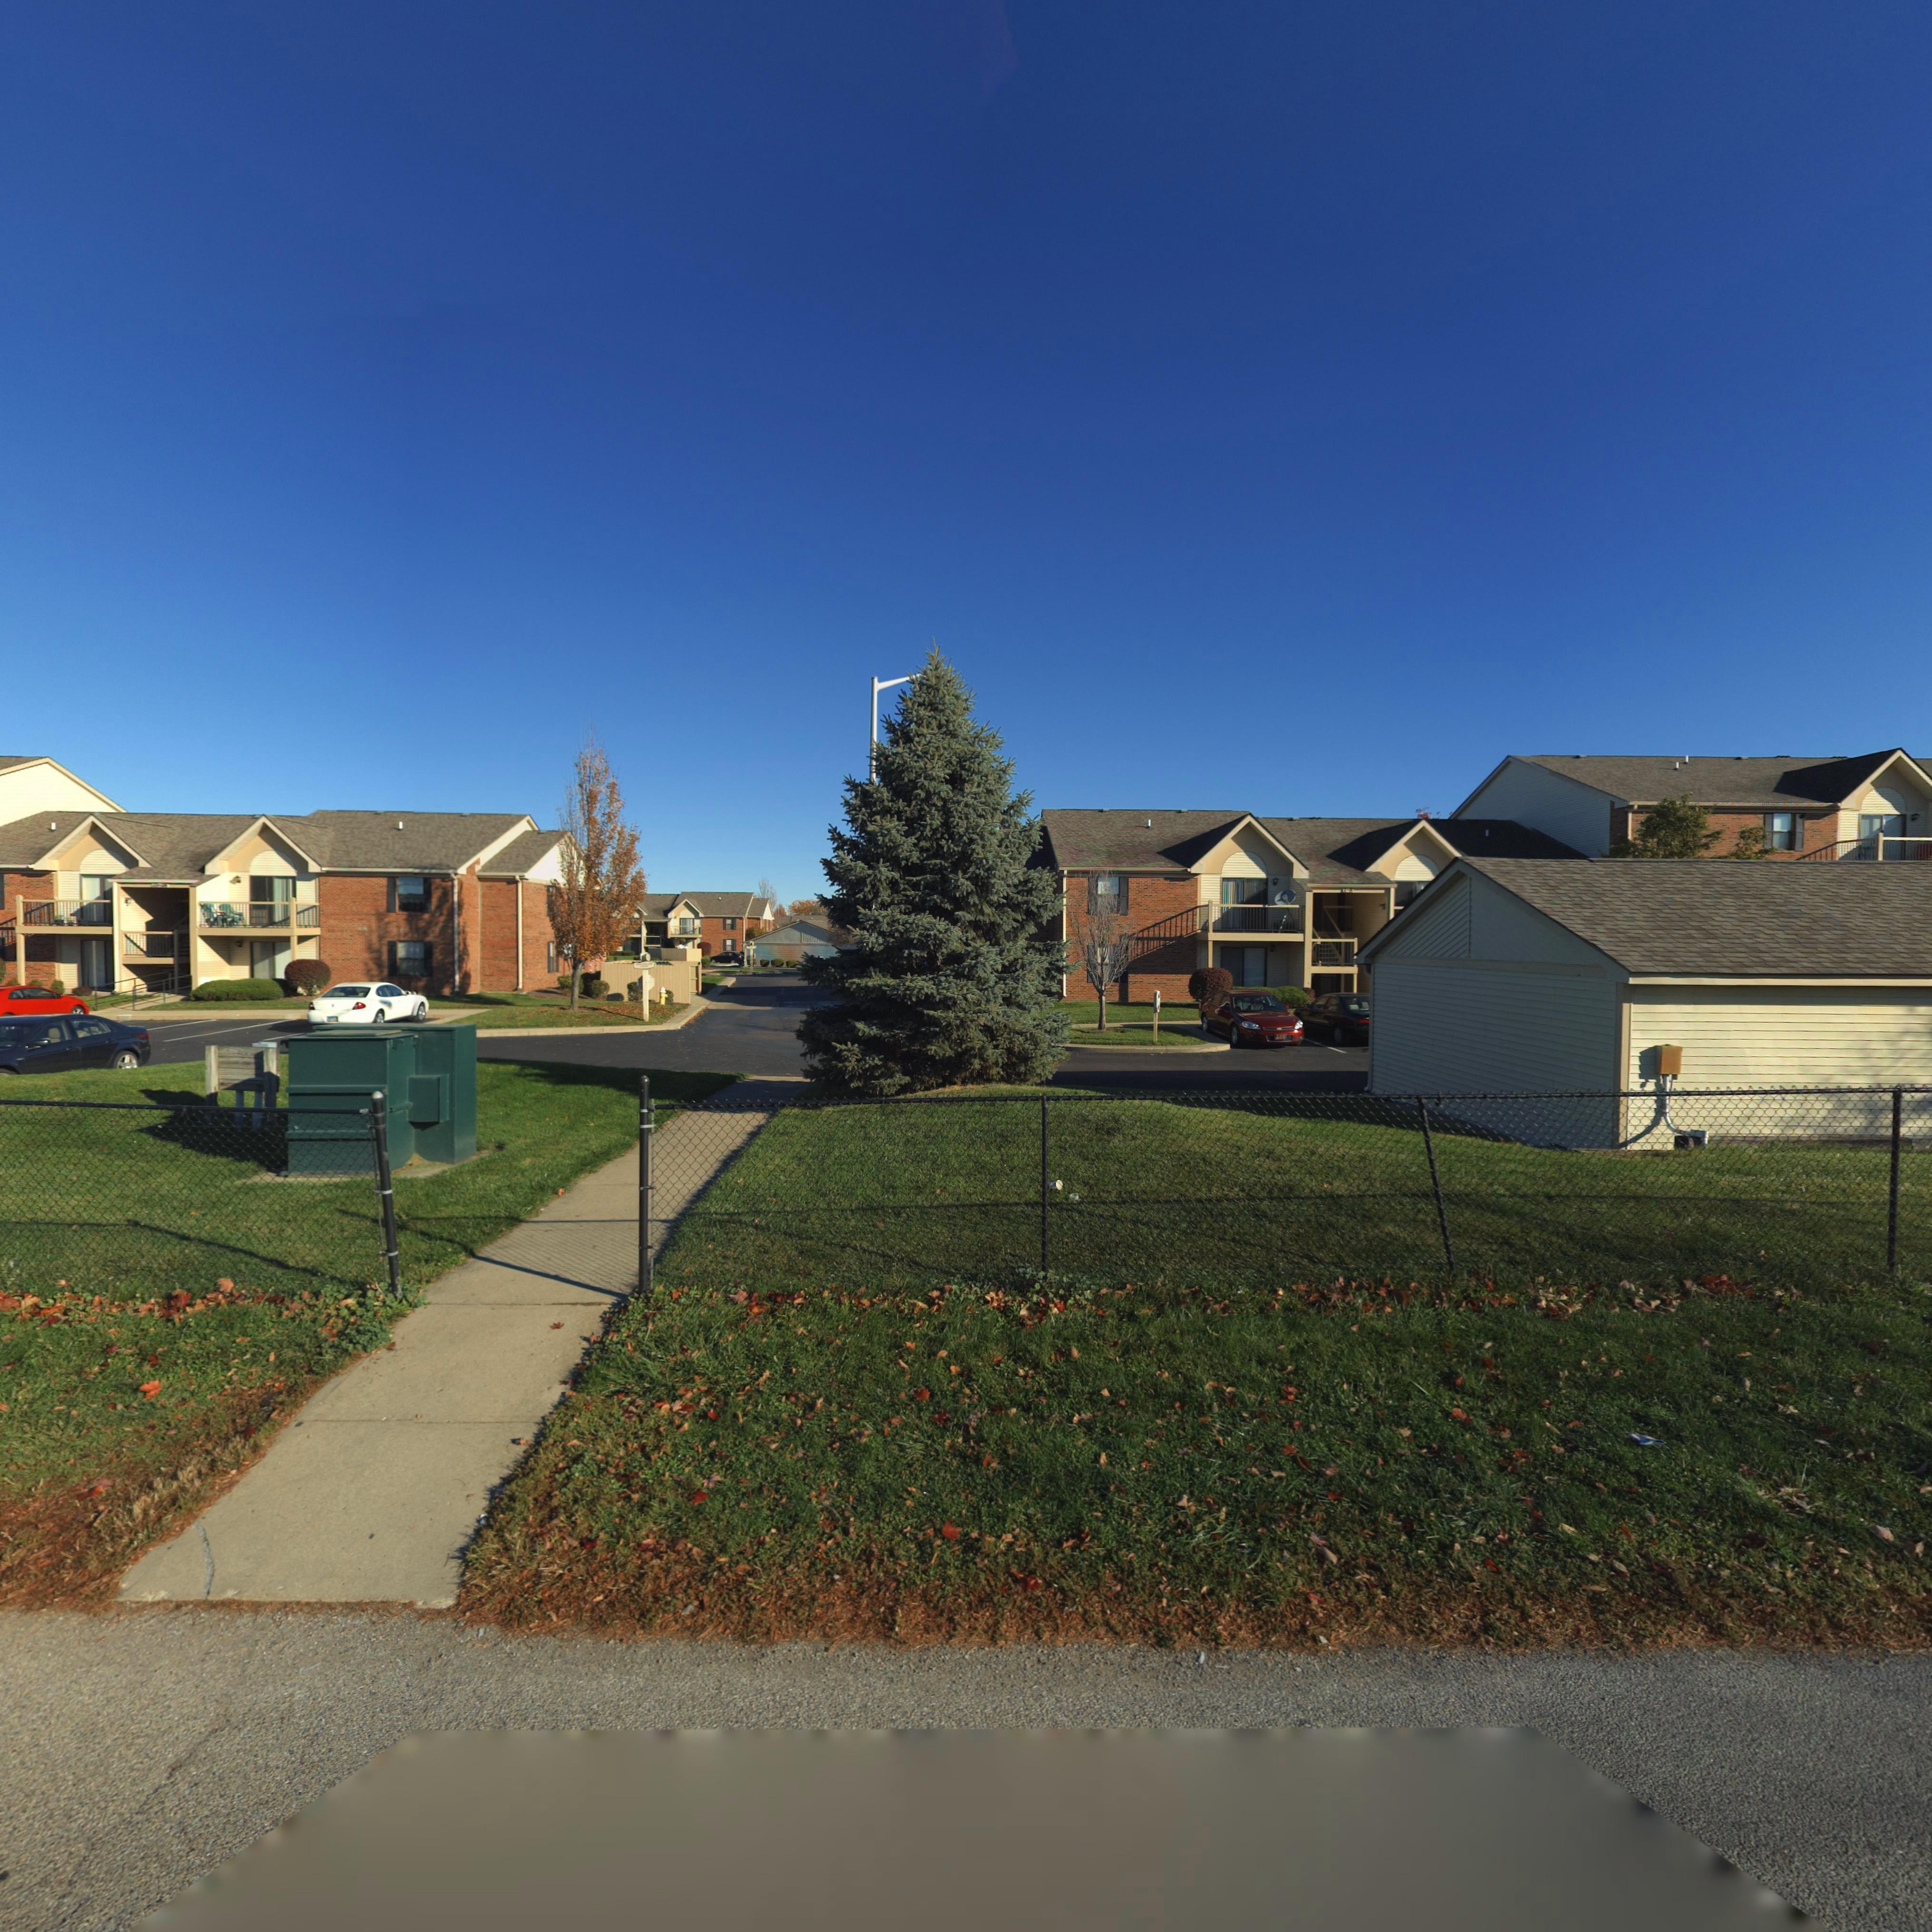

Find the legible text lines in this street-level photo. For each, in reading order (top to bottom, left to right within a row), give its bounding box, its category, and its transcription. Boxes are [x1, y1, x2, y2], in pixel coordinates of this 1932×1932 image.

[1349, 888, 1352, 892] StreetNumber: 8